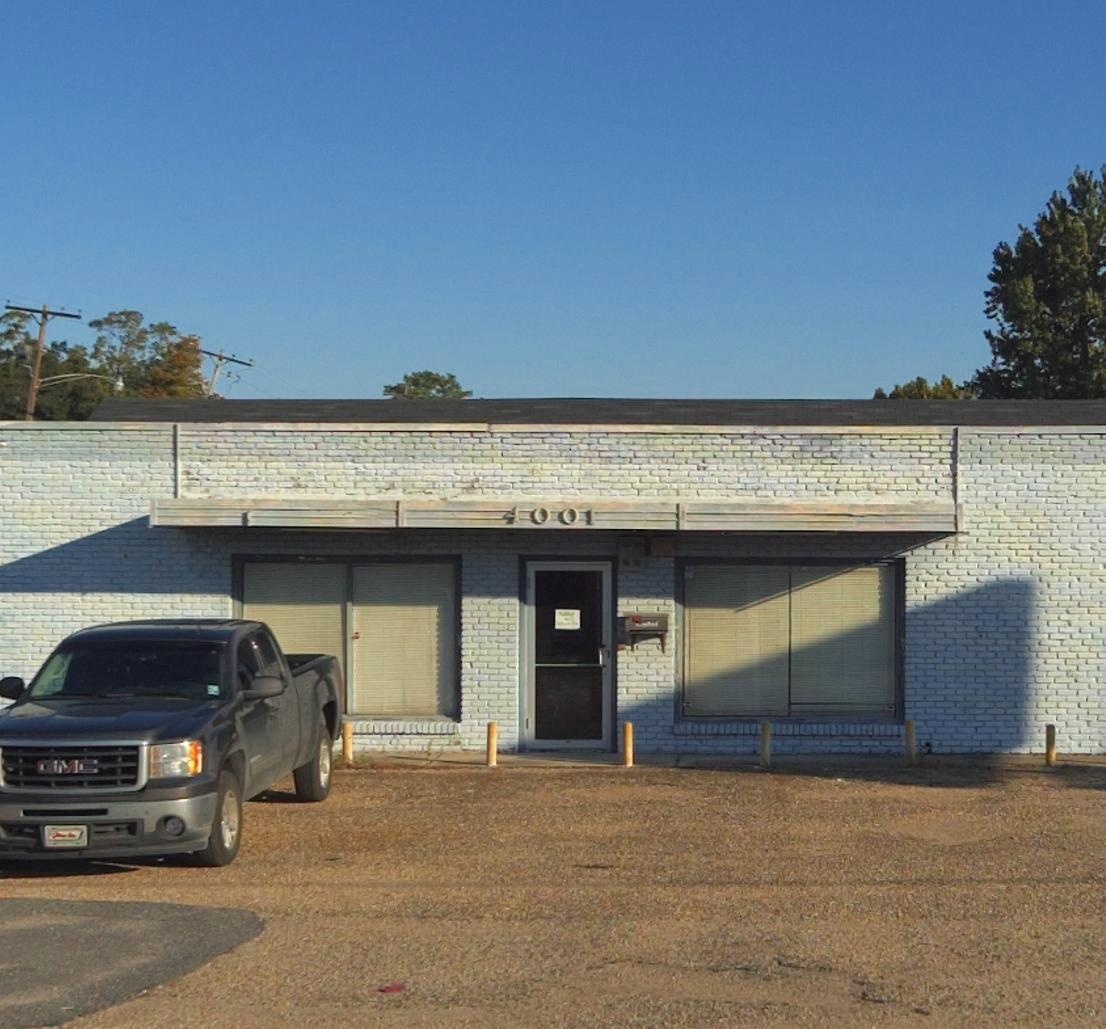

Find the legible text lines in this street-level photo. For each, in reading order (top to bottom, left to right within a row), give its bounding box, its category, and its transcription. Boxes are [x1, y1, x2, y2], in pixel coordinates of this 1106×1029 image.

[503, 503, 596, 528] StreetNumber: 4001
[34, 757, 101, 777] None: GMC